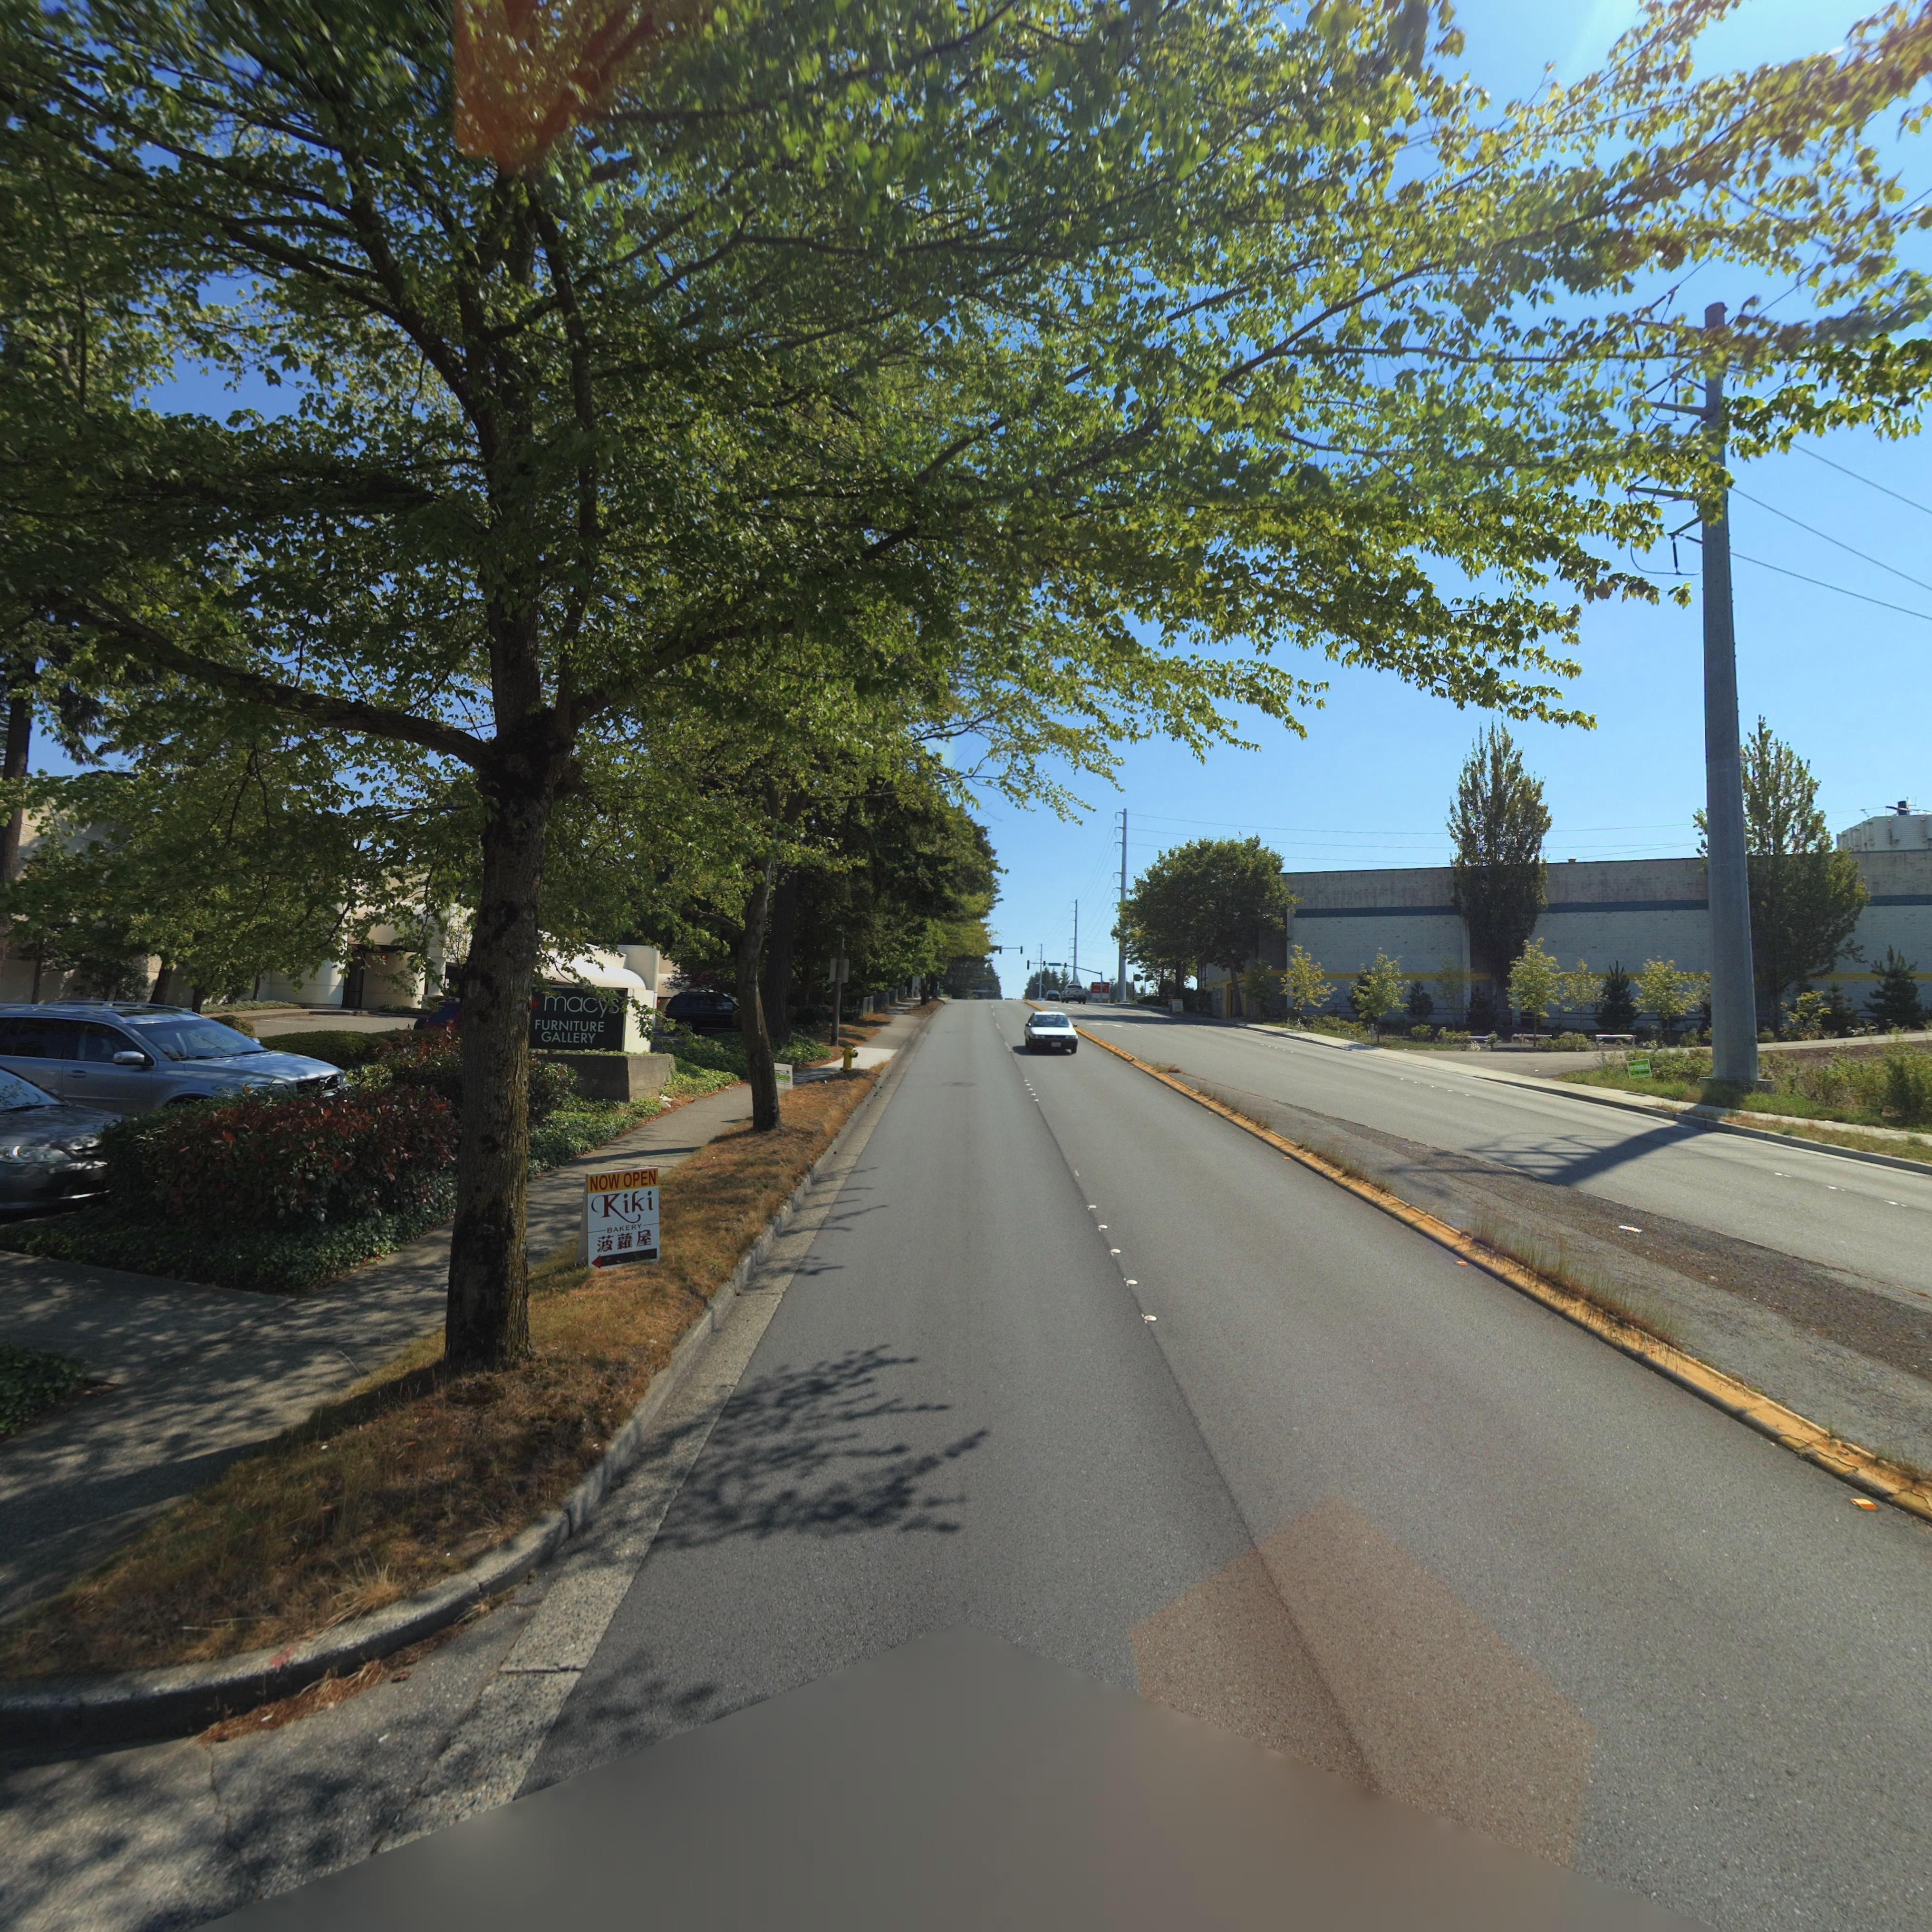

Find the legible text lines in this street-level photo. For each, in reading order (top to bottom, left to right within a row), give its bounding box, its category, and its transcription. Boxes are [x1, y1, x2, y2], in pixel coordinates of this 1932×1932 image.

[535, 1019, 604, 1032] BusinessName: FURNITURE
[540, 1031, 597, 1044] BusinessName: GALLERY
[590, 1189, 654, 1224] BusinessName: Kiki